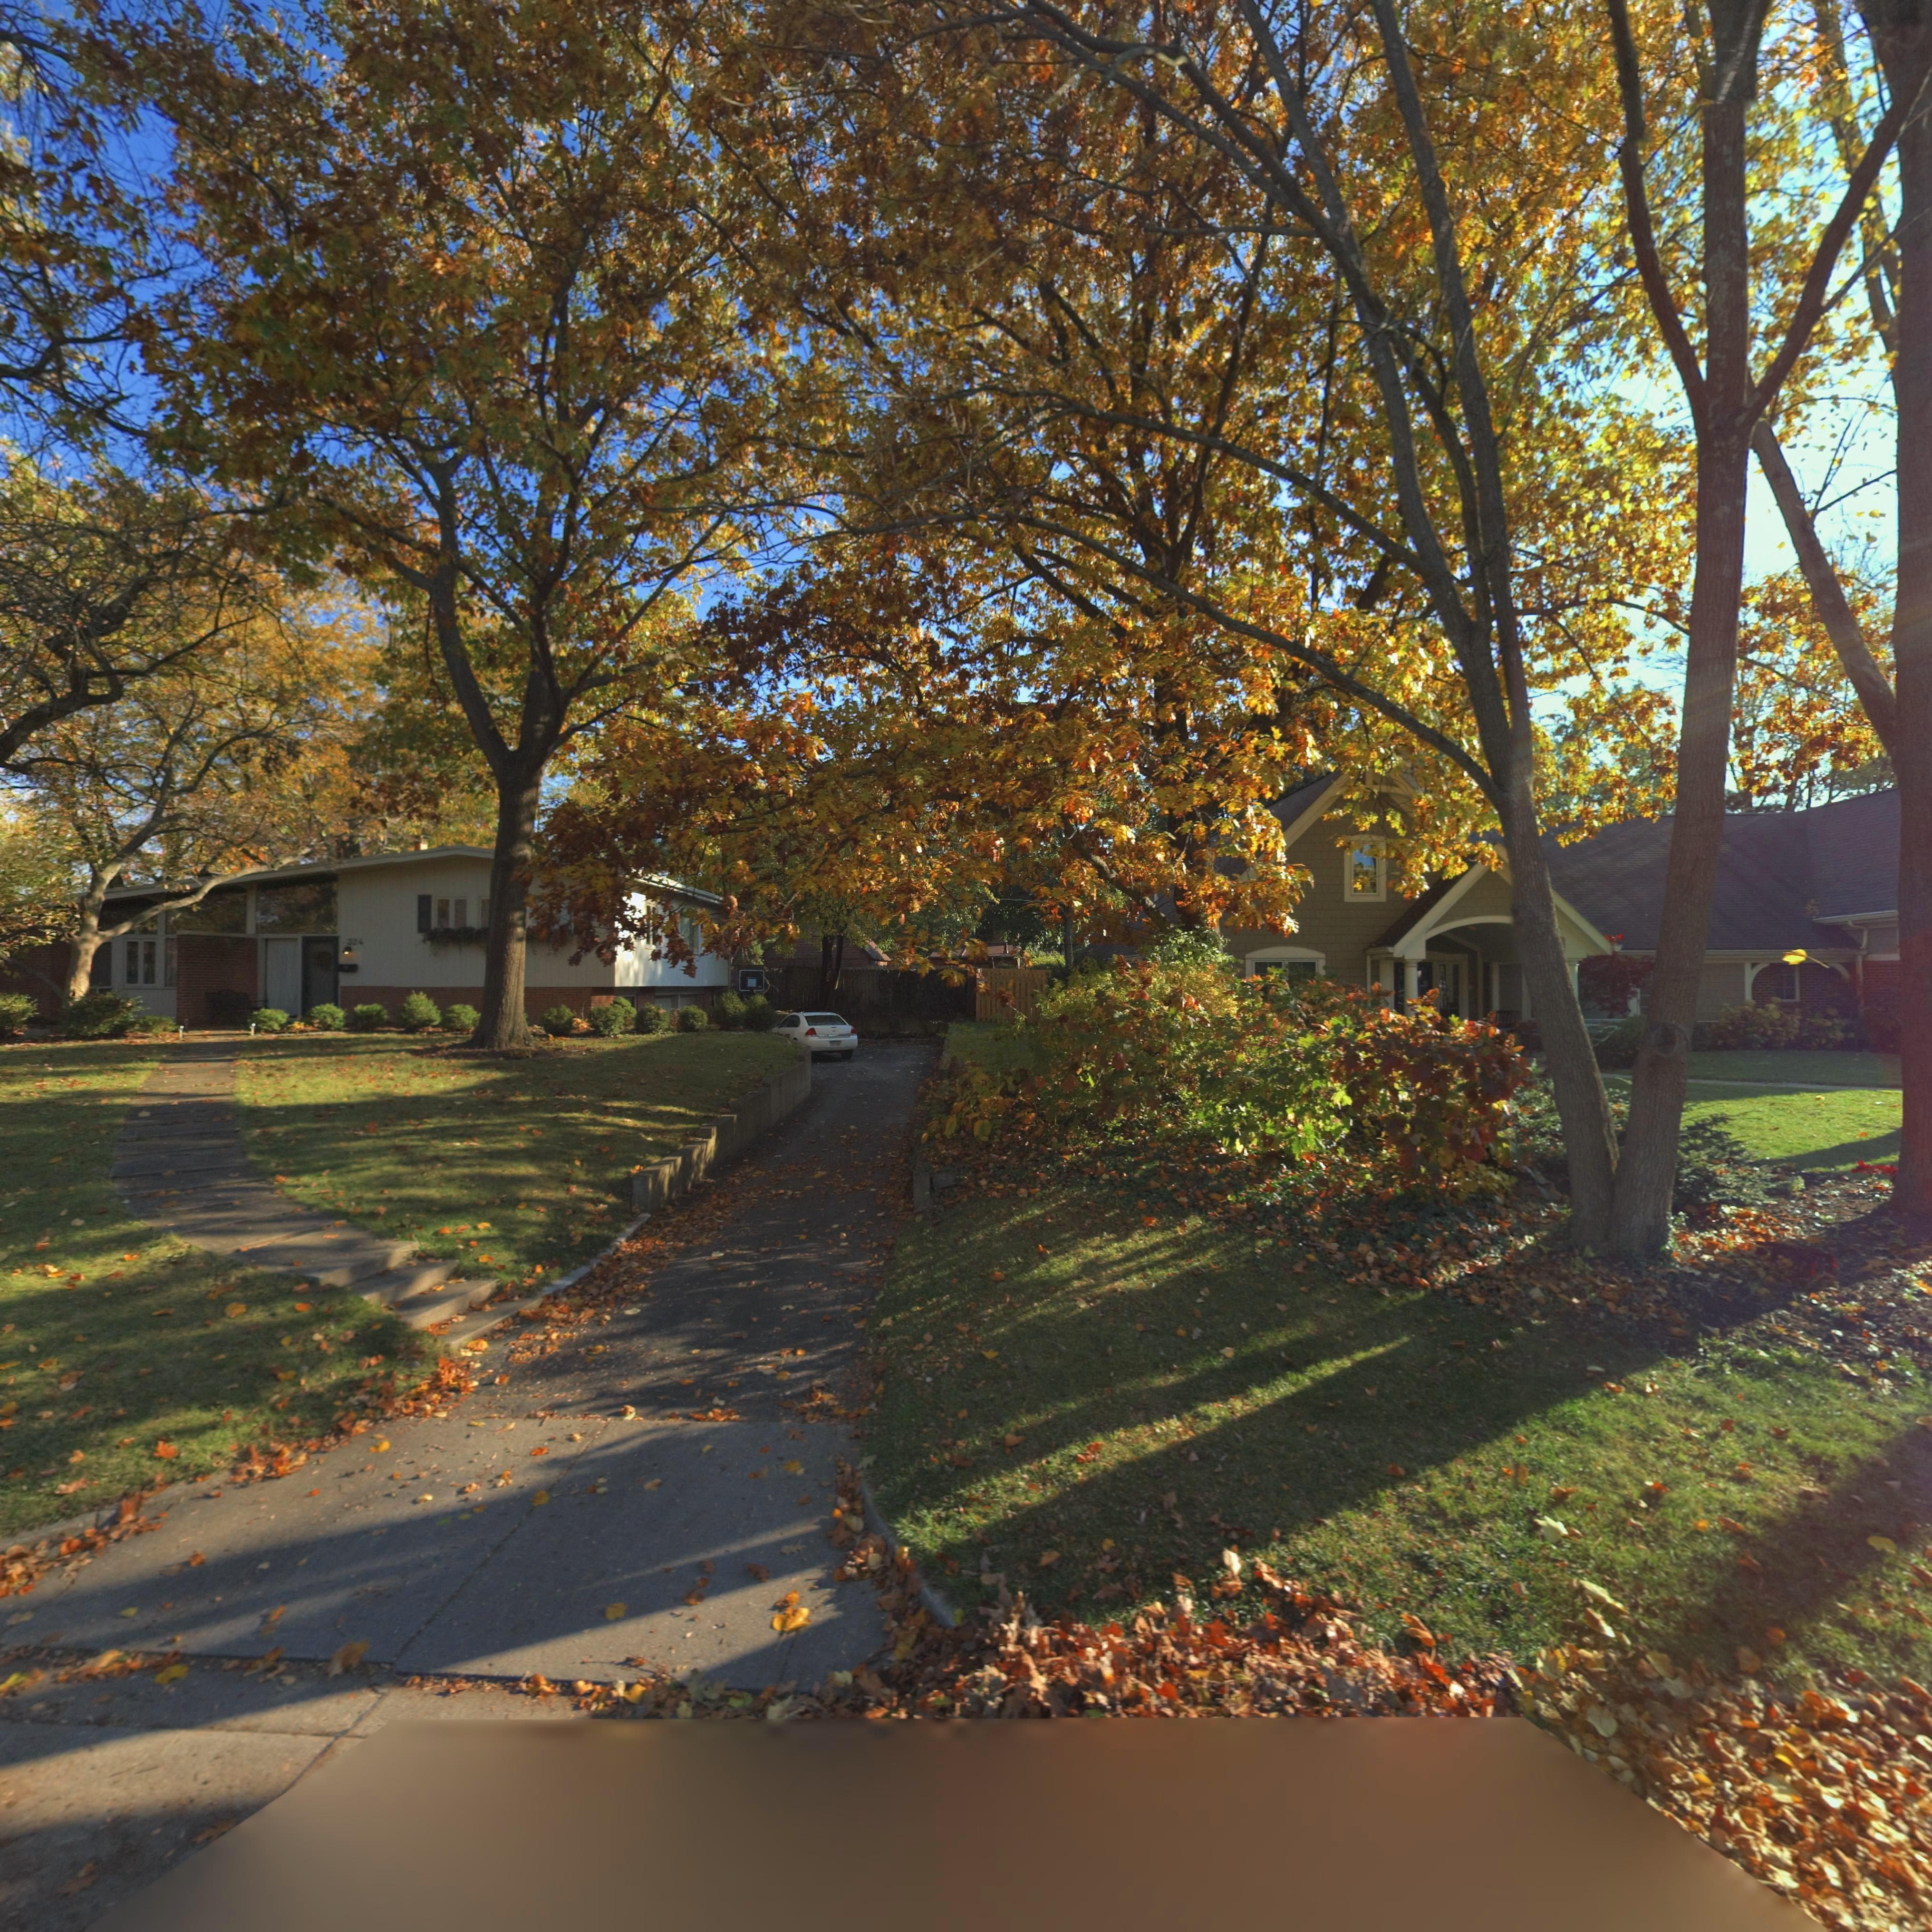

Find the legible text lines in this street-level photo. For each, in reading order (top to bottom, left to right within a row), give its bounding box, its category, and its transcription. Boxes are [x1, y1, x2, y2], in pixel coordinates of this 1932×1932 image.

[346, 937, 365, 946] StreetNumber: 326